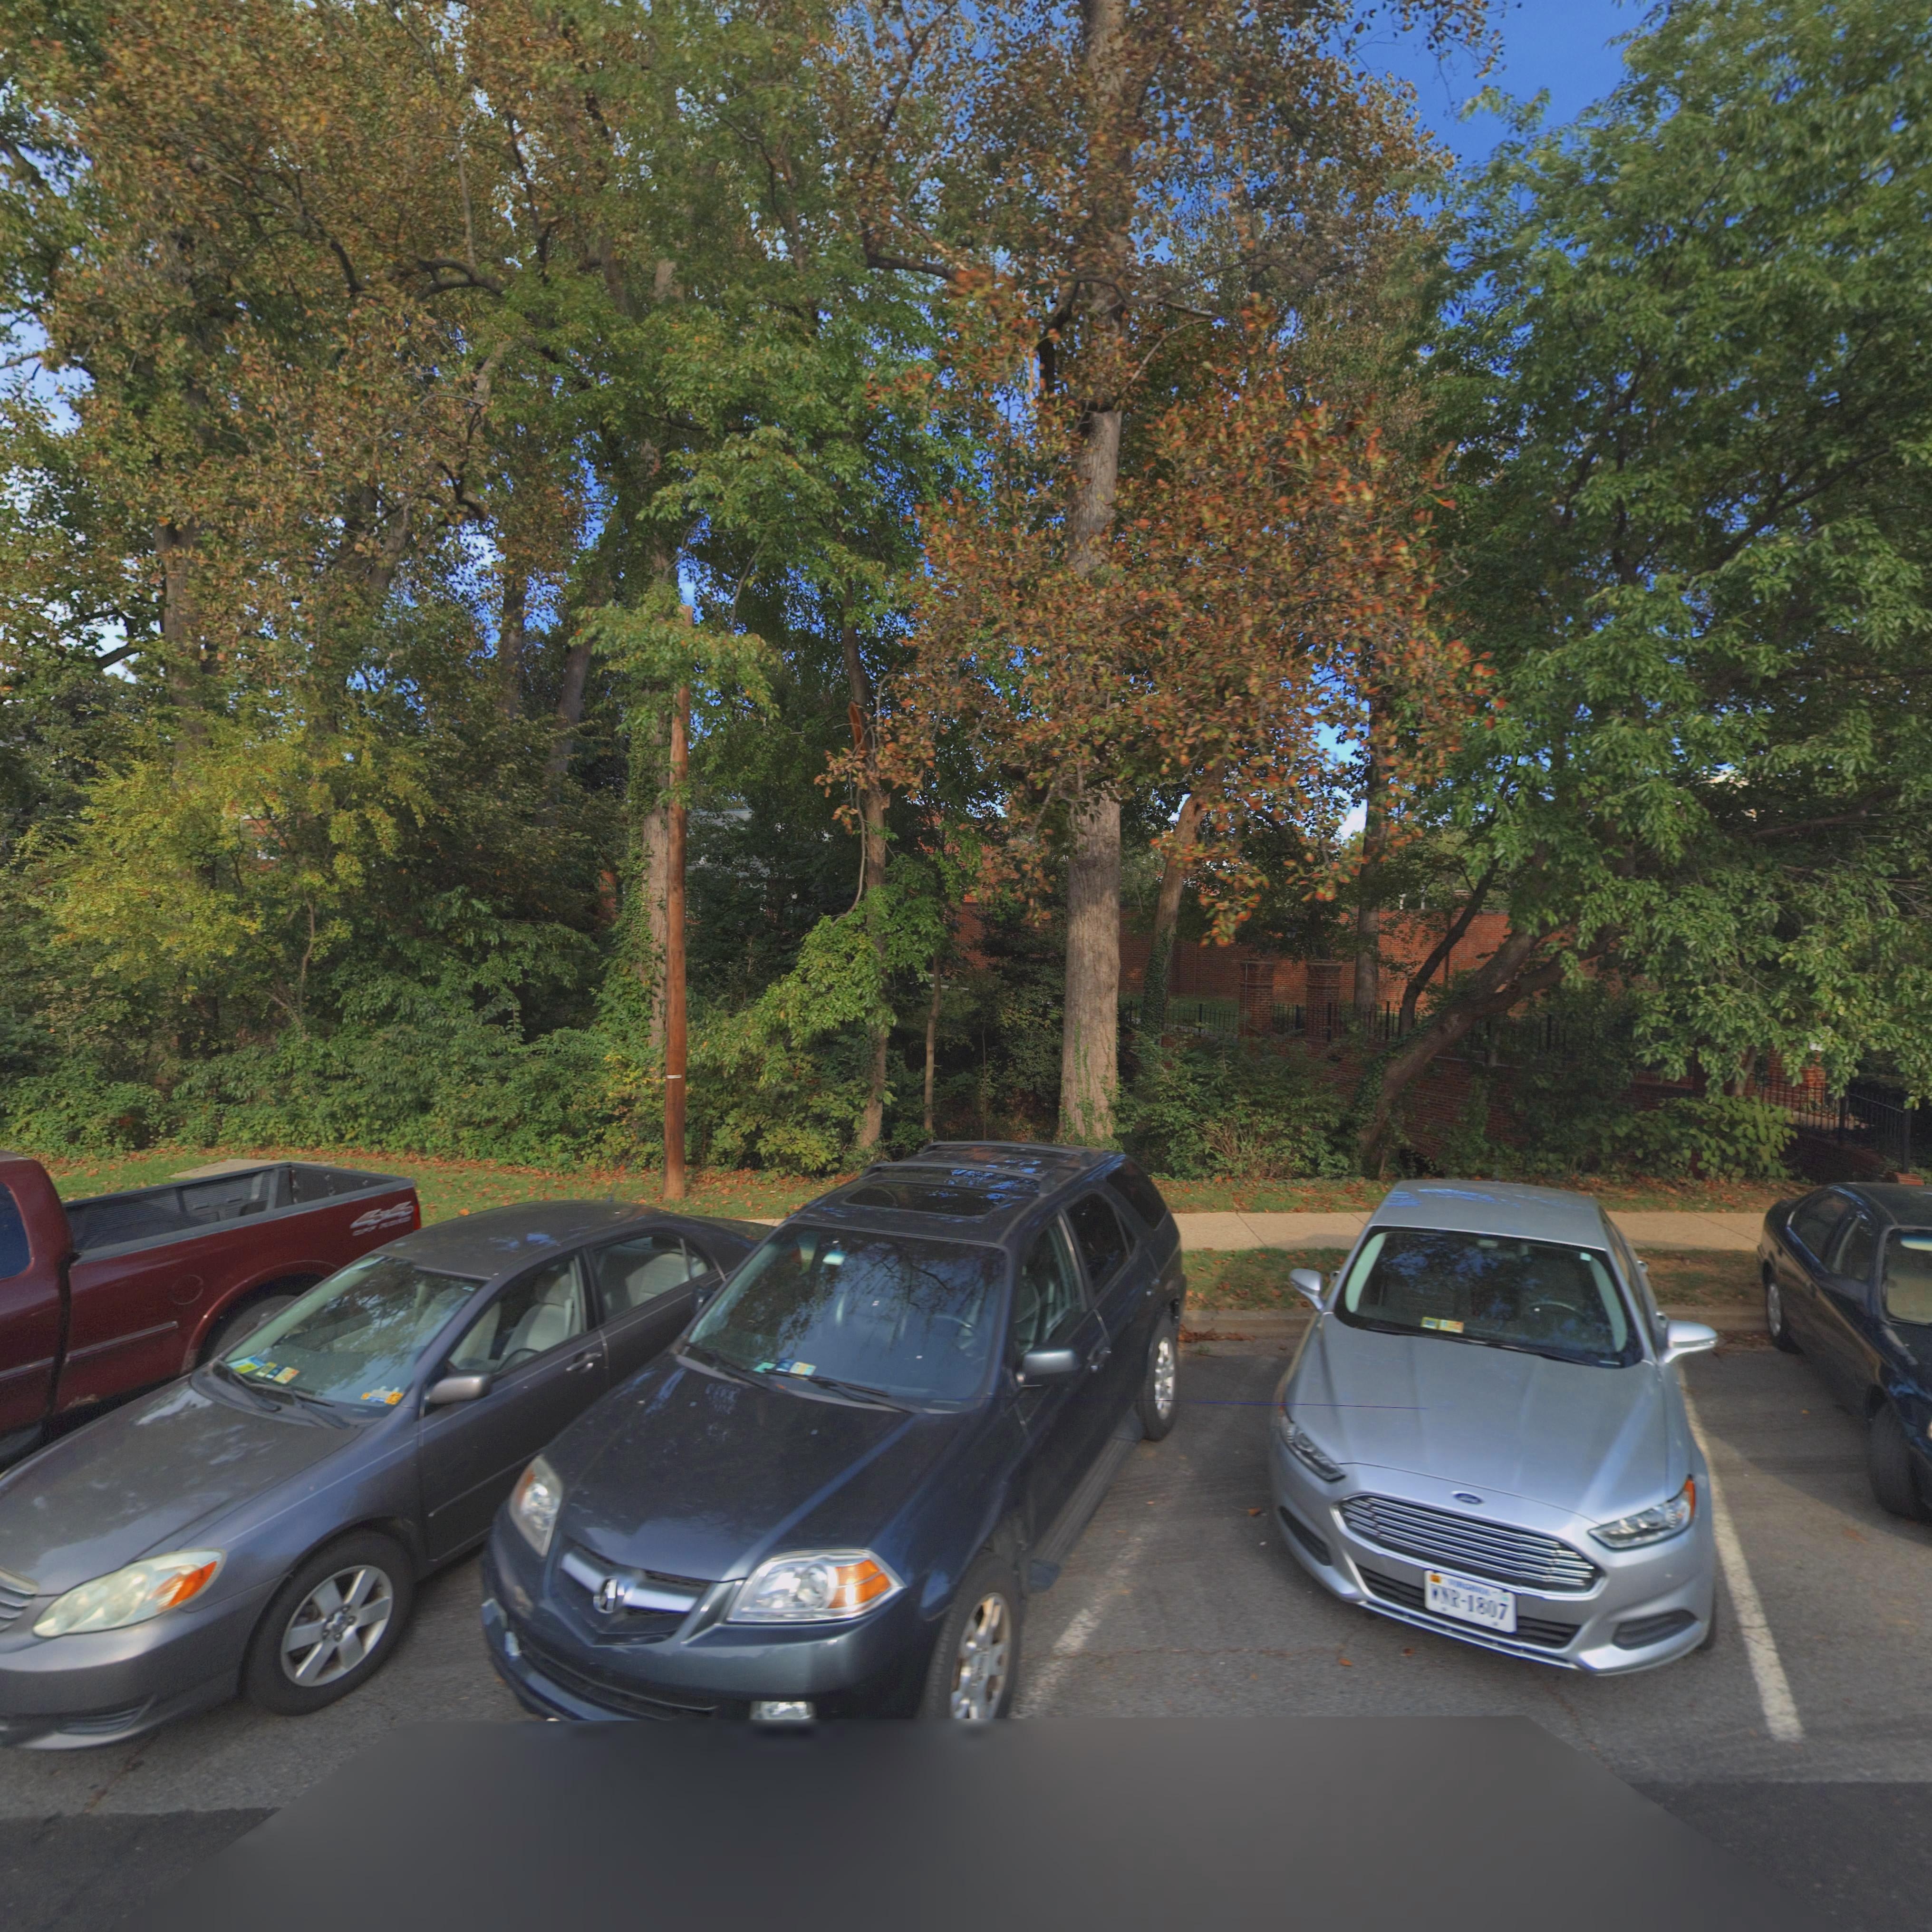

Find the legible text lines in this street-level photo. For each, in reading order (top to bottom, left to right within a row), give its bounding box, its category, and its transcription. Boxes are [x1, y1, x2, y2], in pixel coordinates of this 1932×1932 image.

[353, 1199, 415, 1224] None: 4x4
[352, 1224, 377, 1237] None: OFF
[1430, 1582, 1511, 1622] None: WNR*1807